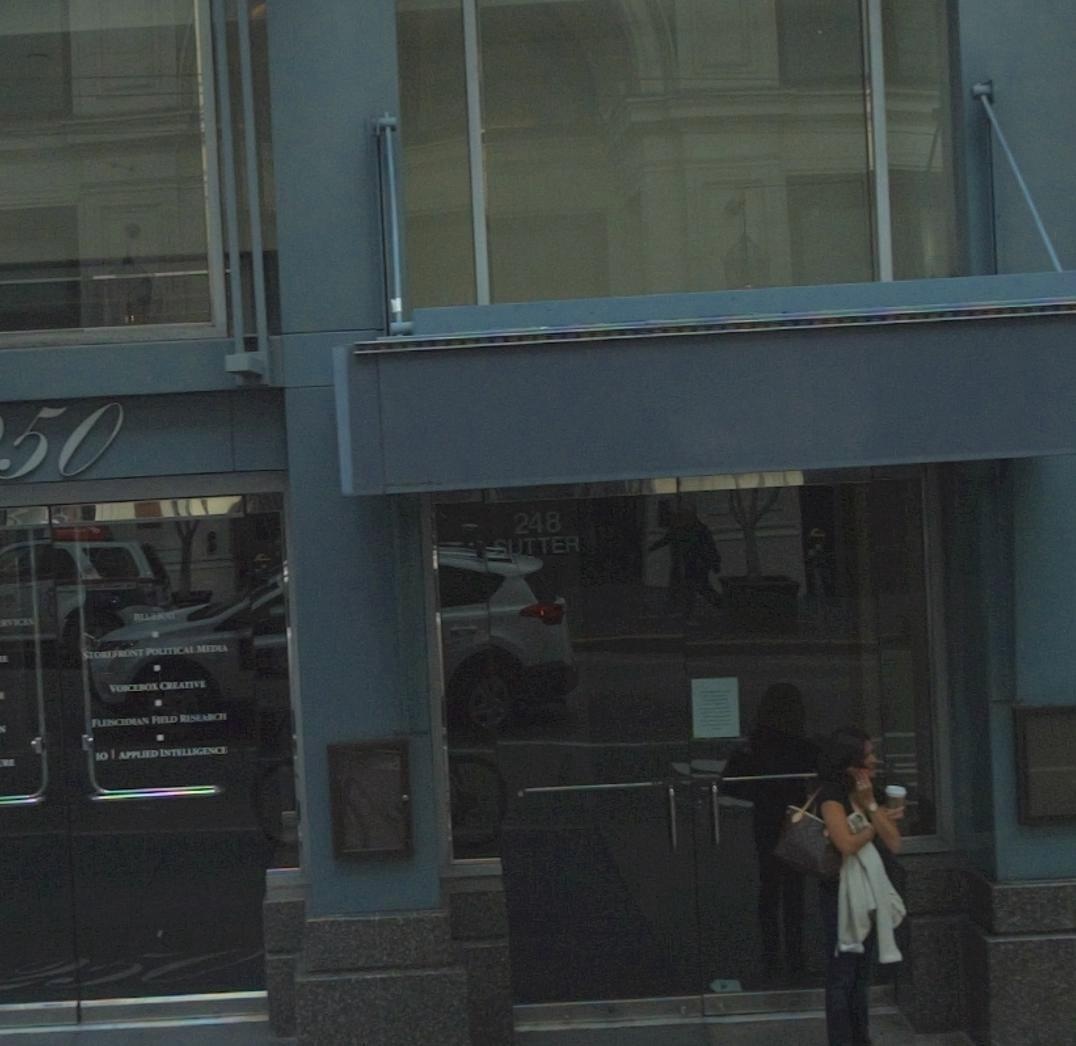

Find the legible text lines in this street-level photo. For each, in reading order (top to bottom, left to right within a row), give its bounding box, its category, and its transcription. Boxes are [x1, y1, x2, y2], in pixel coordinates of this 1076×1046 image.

[44, 394, 140, 484] StreetNumber: 0
[509, 507, 566, 539] StreetNumber: 248
[490, 531, 585, 560] StreetName: SUTTER
[80, 649, 108, 663] None: STOR
[110, 642, 231, 662] None: FRONT POLITICAL MEDIA
[106, 677, 209, 695] None: VO*CEBOX CREATIVE
[89, 709, 230, 730] None: FLE*CHMAN *IELD RESEARCH
[98, 750, 111, 763] None: O
[115, 743, 230, 763] None: APPLIED INTELLIGENCE